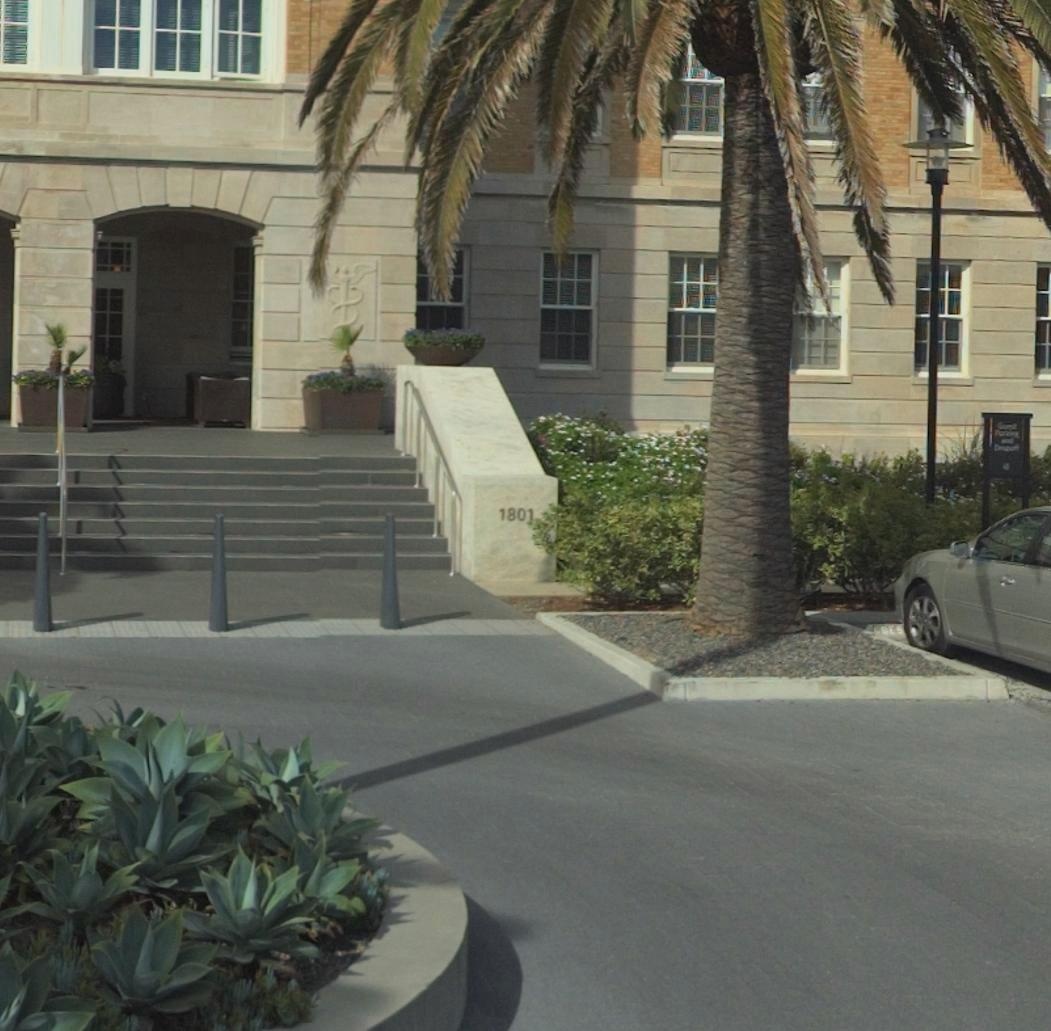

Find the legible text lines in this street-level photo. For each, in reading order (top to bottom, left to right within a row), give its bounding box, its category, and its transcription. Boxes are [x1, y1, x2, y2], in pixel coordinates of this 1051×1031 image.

[499, 505, 536, 523] StreetNumber: 1801